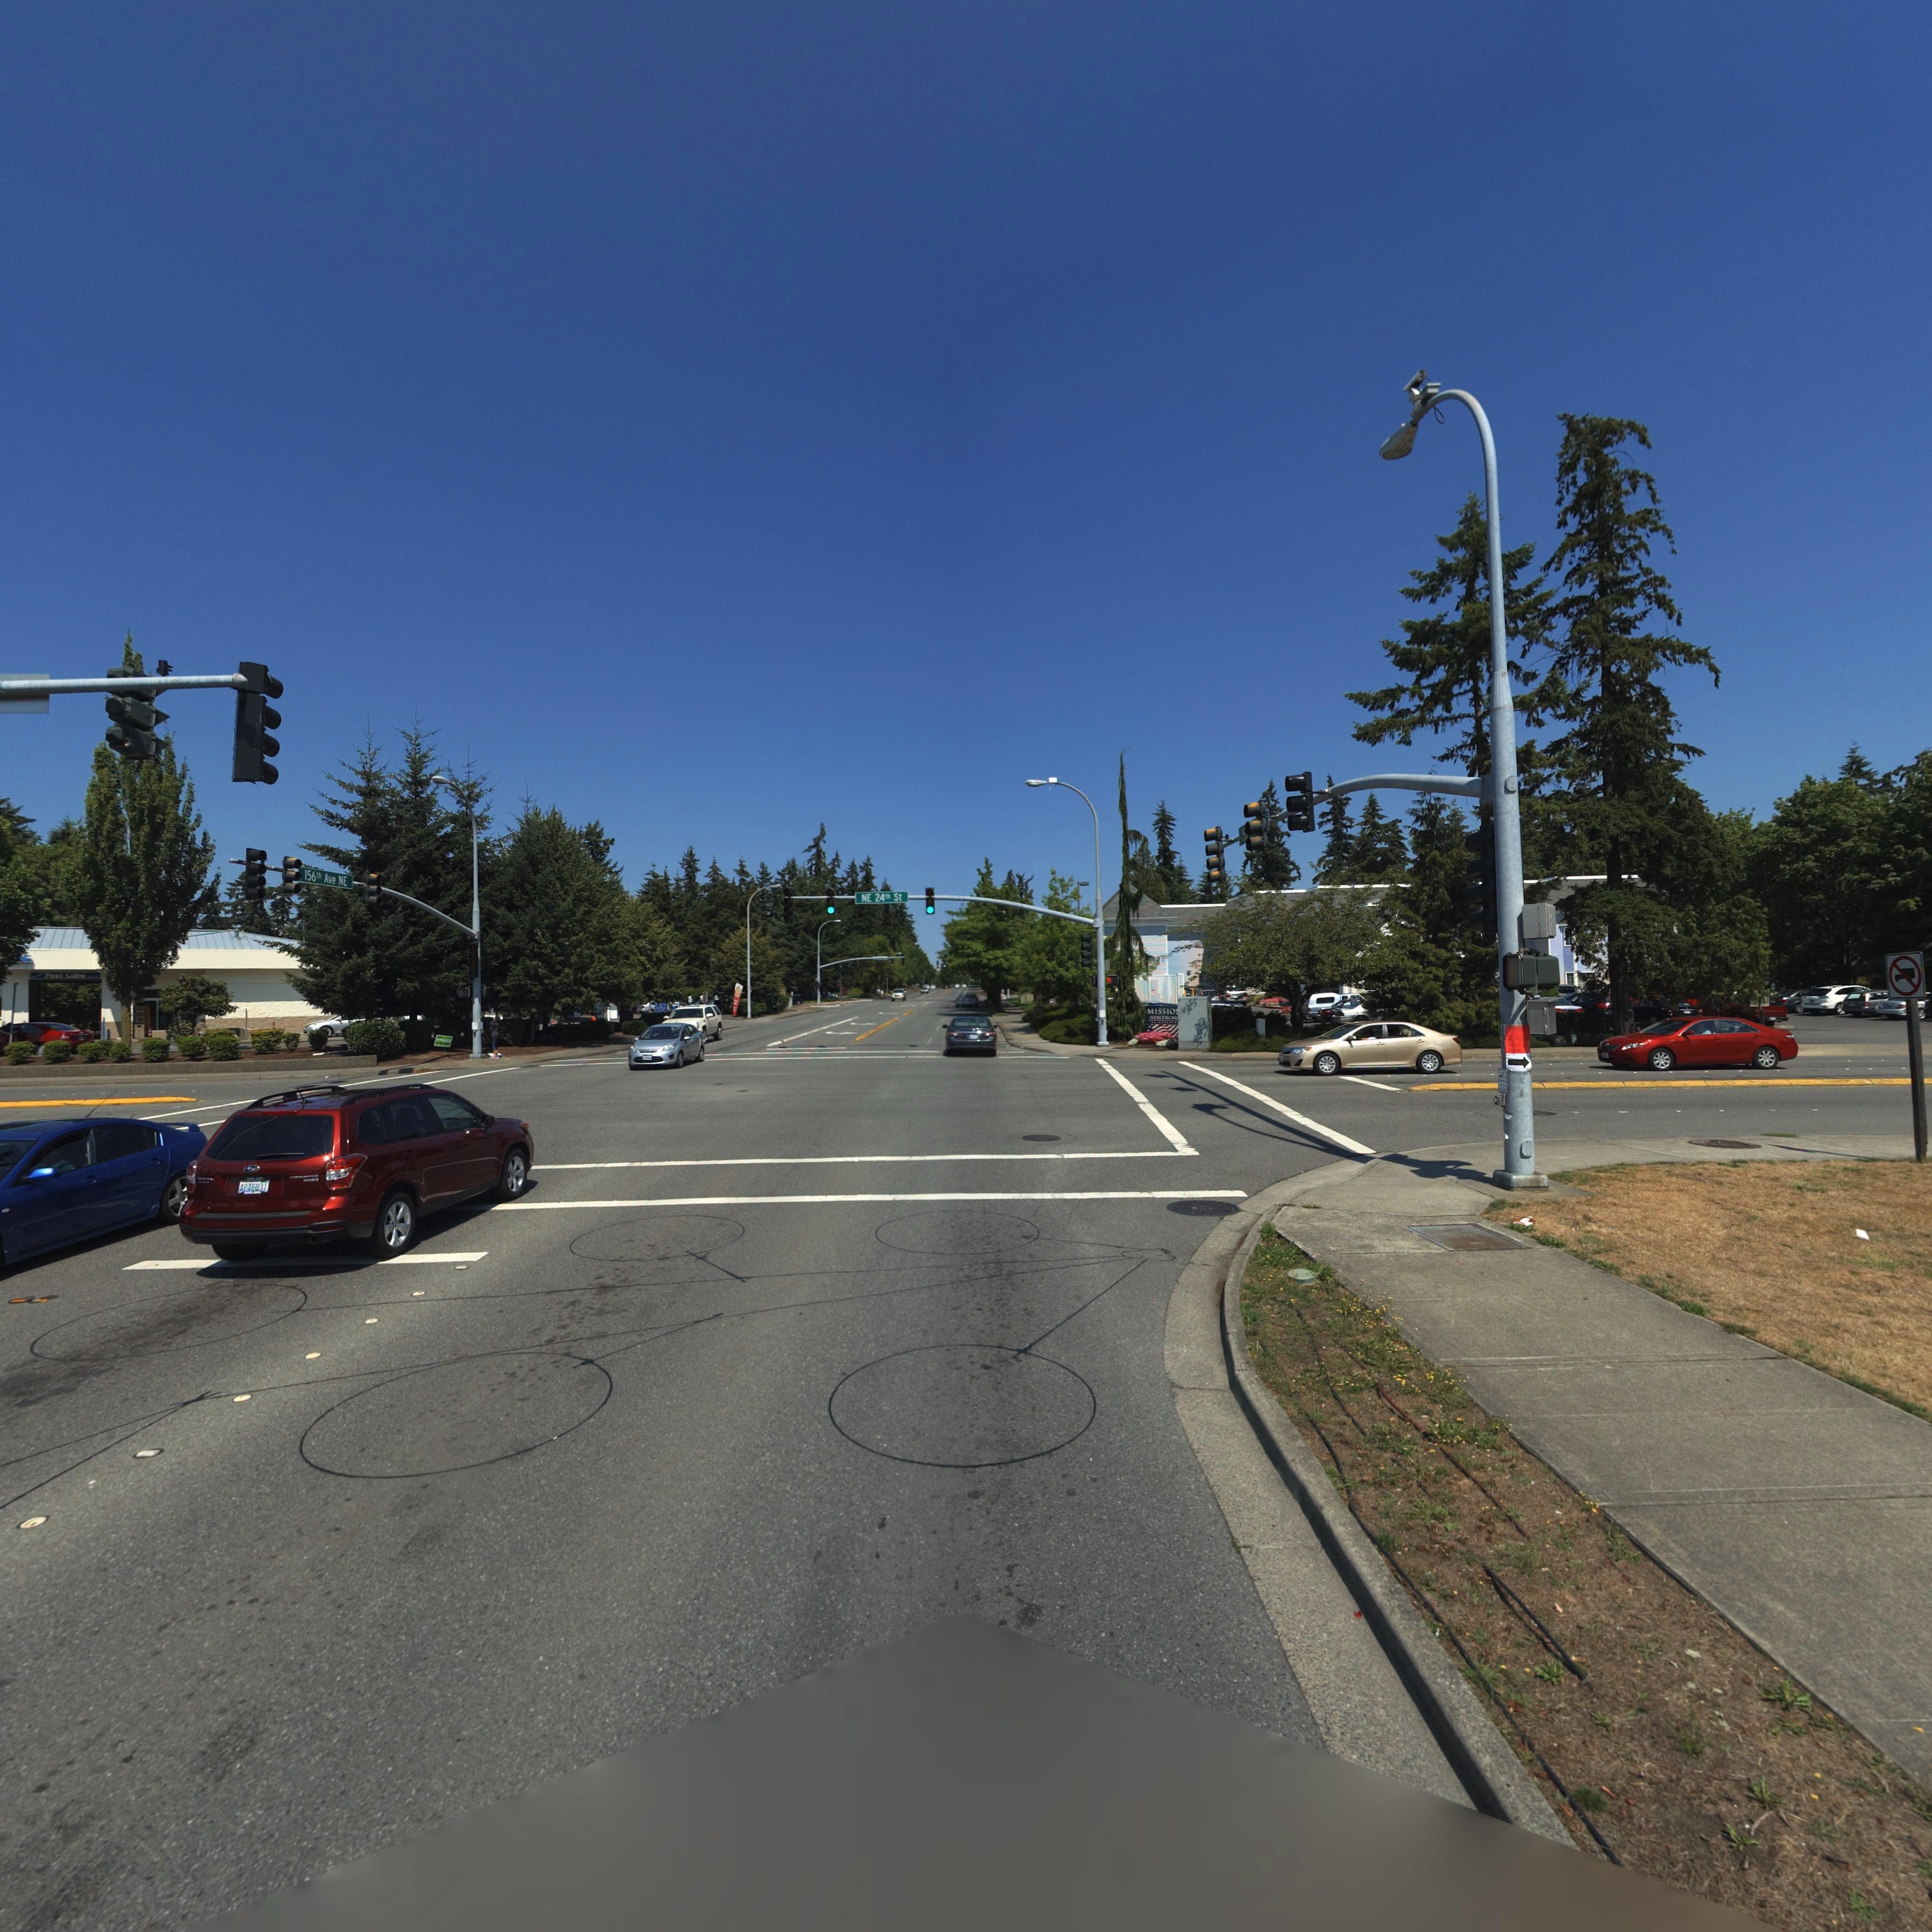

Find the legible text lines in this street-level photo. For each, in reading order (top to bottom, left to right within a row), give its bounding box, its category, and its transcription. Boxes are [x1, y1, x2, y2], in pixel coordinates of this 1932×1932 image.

[304, 869, 348, 887] StreetName: 156th Ave NE
[862, 893, 903, 901] StreetName: NE 24th St
[1148, 1008, 1175, 1014] BusinessName: MISSIO
[1169, 1015, 1177, 1021] None: CAR